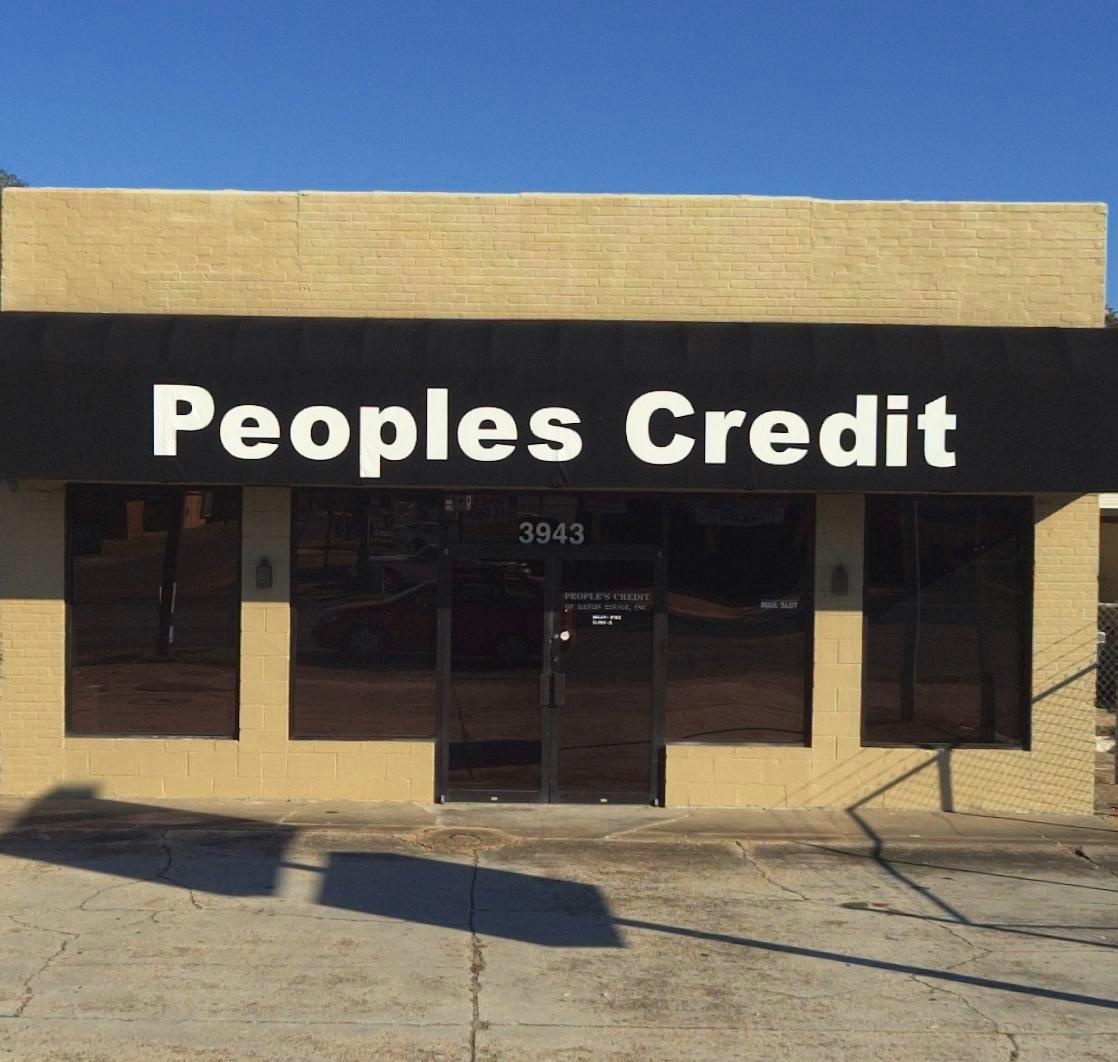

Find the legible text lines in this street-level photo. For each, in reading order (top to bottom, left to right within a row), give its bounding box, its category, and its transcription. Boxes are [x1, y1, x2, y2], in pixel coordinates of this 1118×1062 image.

[146, 374, 964, 485] BusinessName: Peoples Credit
[516, 520, 586, 547] StreetNumber: 3943
[562, 589, 653, 603] BusinessName: PEOPLE'S CREDIT